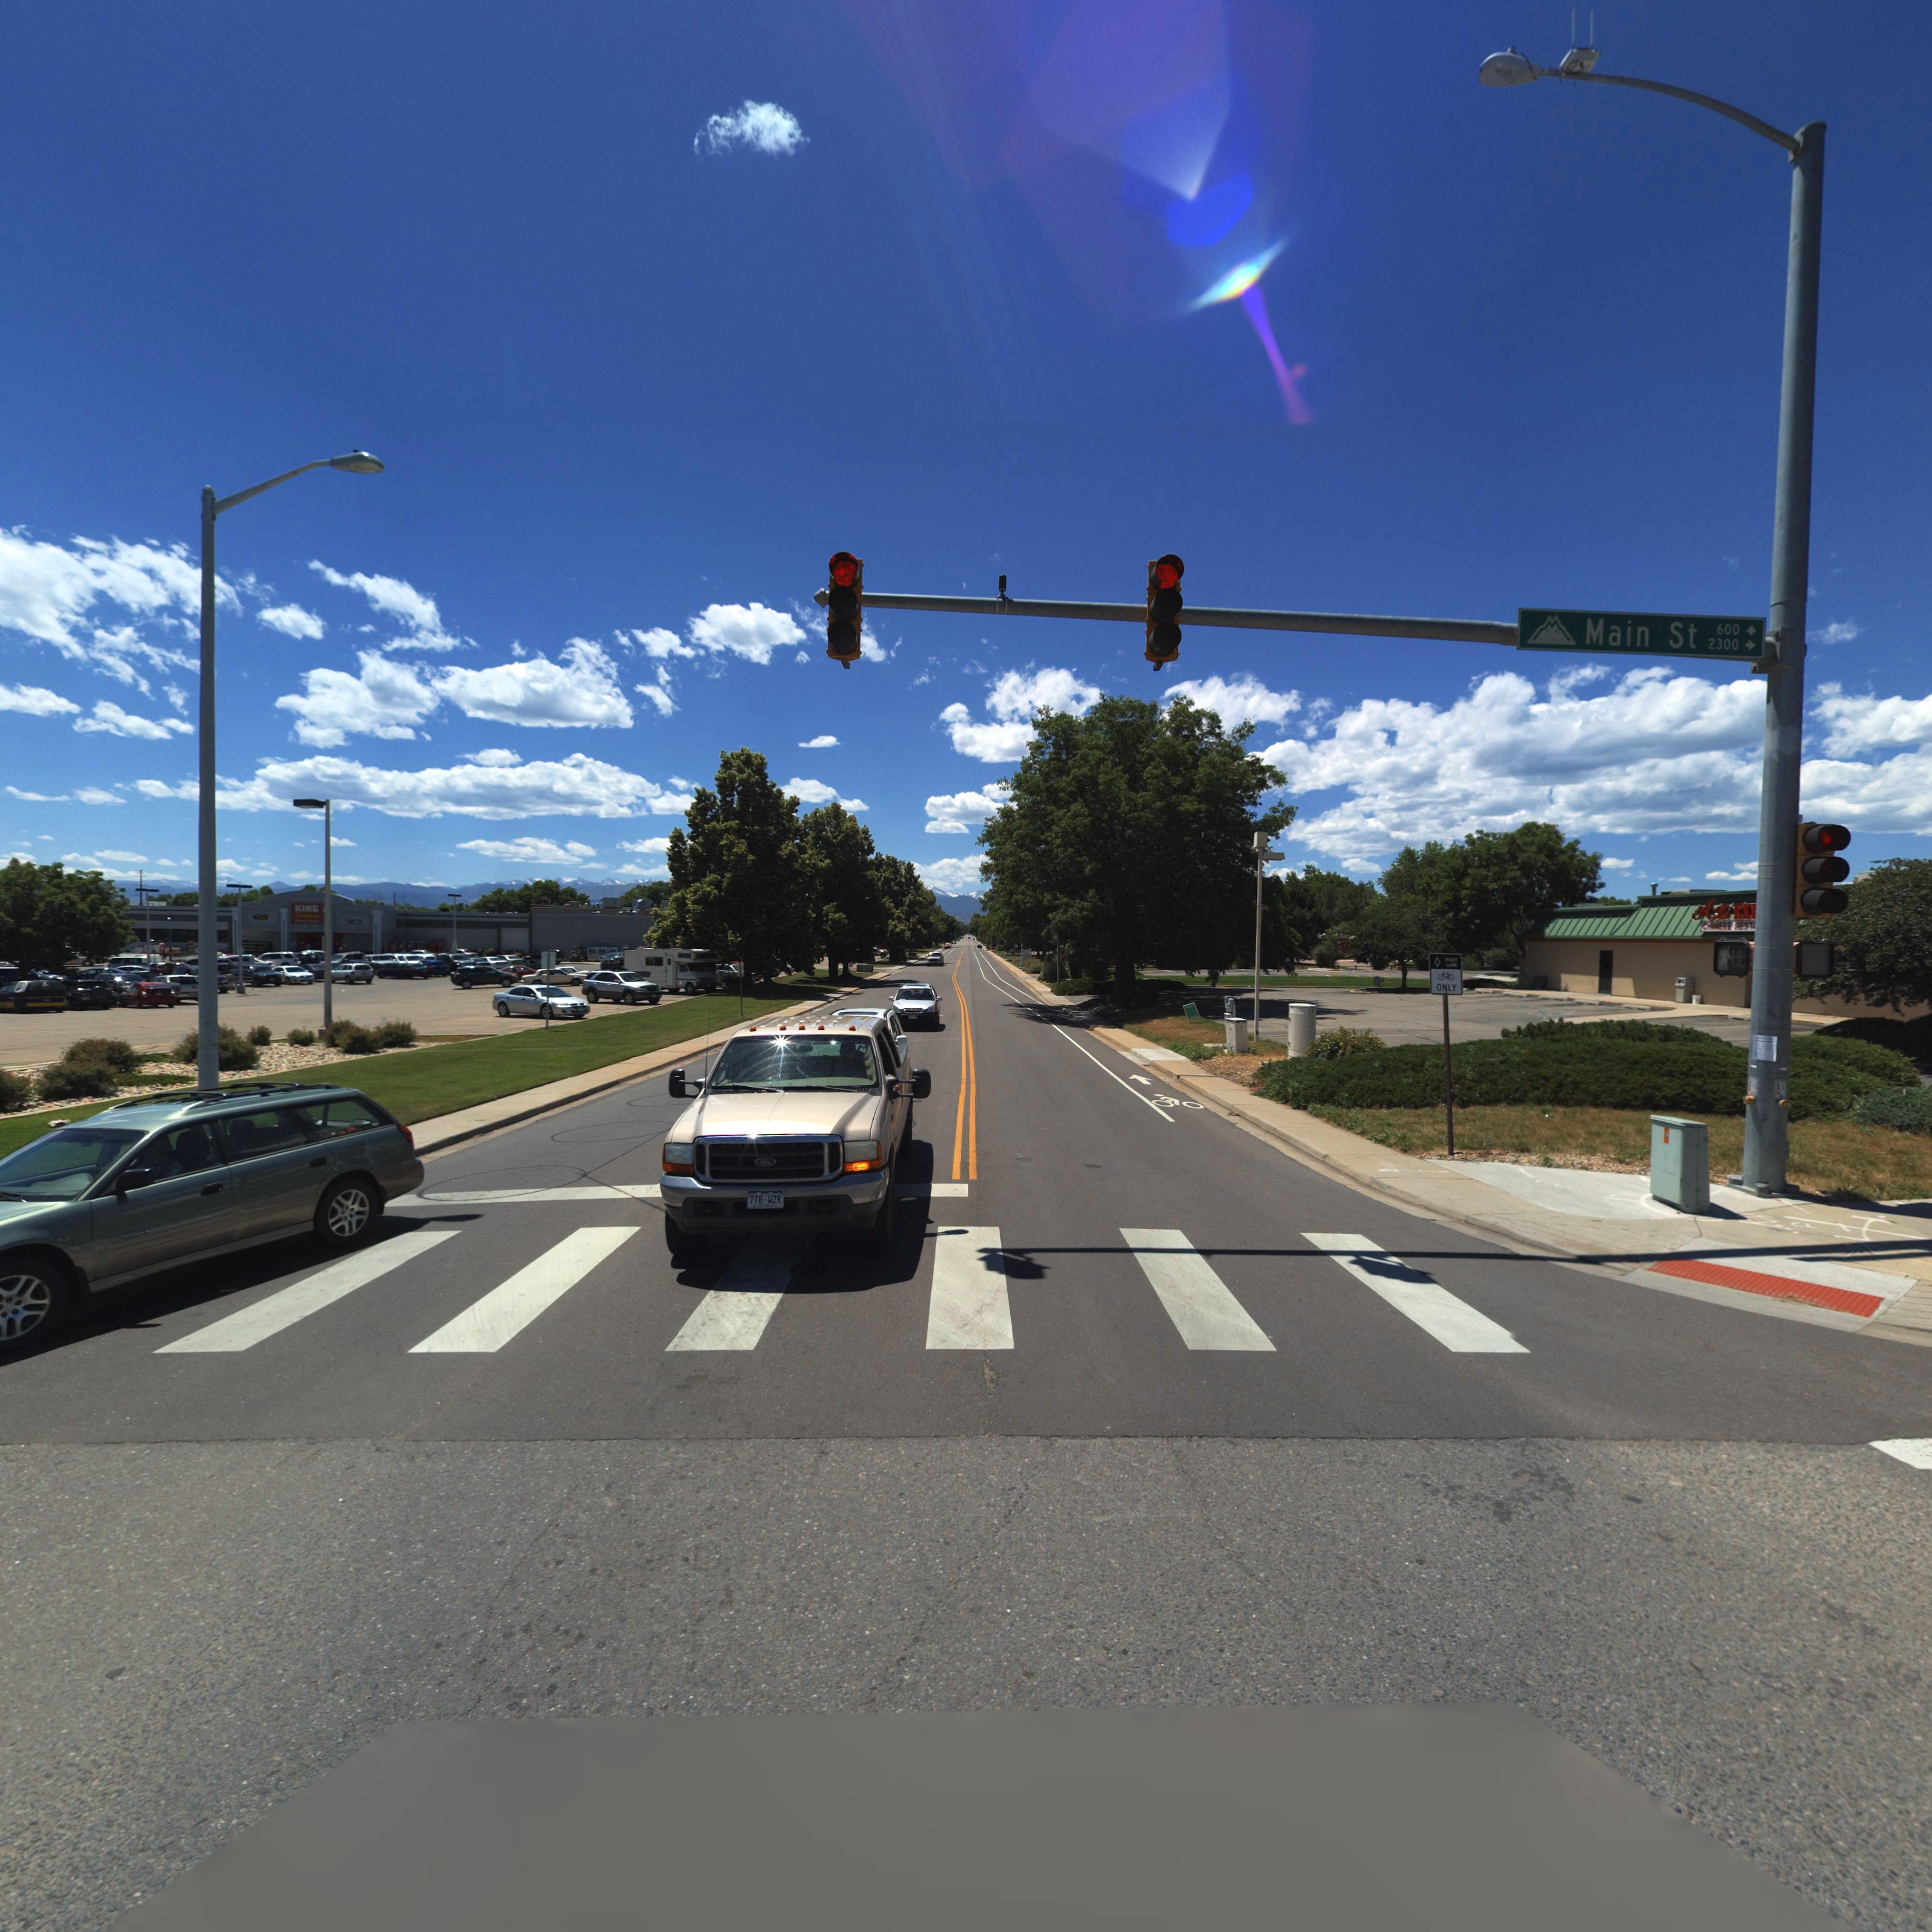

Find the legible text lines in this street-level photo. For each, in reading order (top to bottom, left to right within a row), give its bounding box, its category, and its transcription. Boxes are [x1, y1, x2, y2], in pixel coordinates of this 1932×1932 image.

[1585, 617, 1698, 649] StreetName: Main St
[1717, 623, 1740, 635] StreetNumberRange: 600
[1708, 638, 1757, 650] StreetNumberRange: 2300->
[295, 905, 319, 912] BusinessName: KING
[1691, 897, 1756, 920] BusinessName: Ali EX*
[294, 911, 319, 920] BusinessName: S******